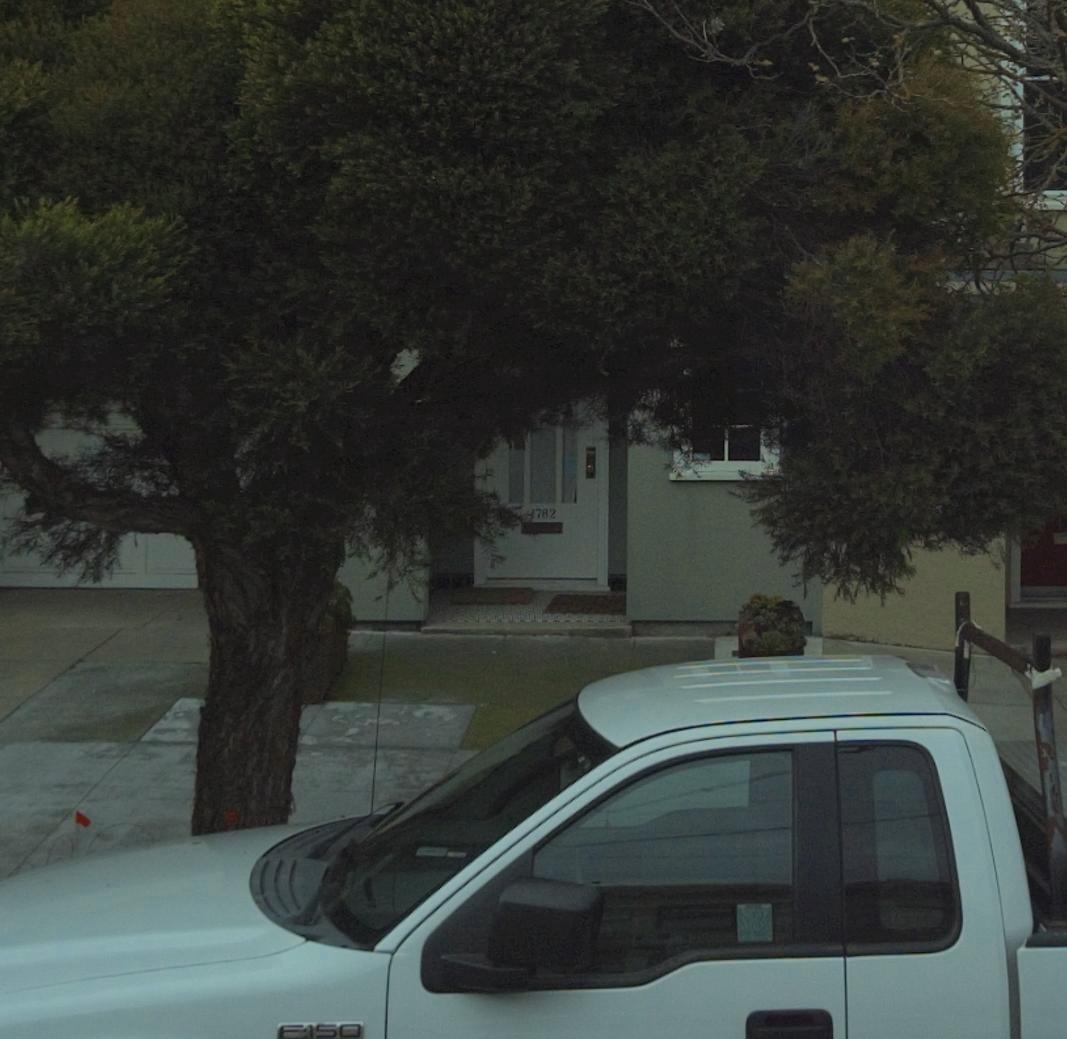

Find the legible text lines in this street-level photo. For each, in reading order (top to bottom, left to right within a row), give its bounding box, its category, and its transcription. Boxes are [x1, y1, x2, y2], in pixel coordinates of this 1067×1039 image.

[530, 507, 557, 520] StreetNumber: 1762